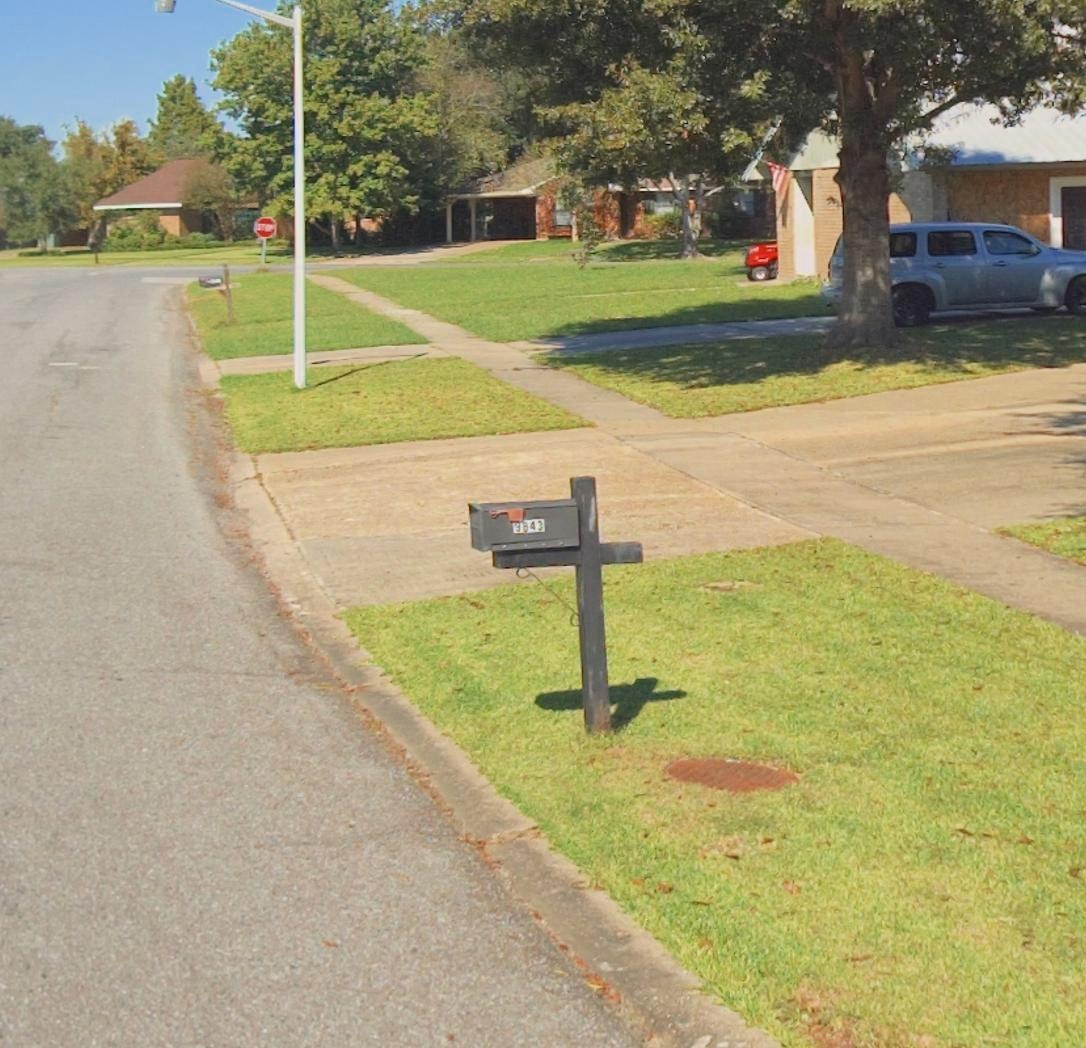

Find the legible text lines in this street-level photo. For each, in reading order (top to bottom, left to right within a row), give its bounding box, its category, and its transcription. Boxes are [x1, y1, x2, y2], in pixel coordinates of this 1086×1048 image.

[257, 223, 274, 232] None: STOP
[514, 521, 544, 532] StreetNumber: 9843